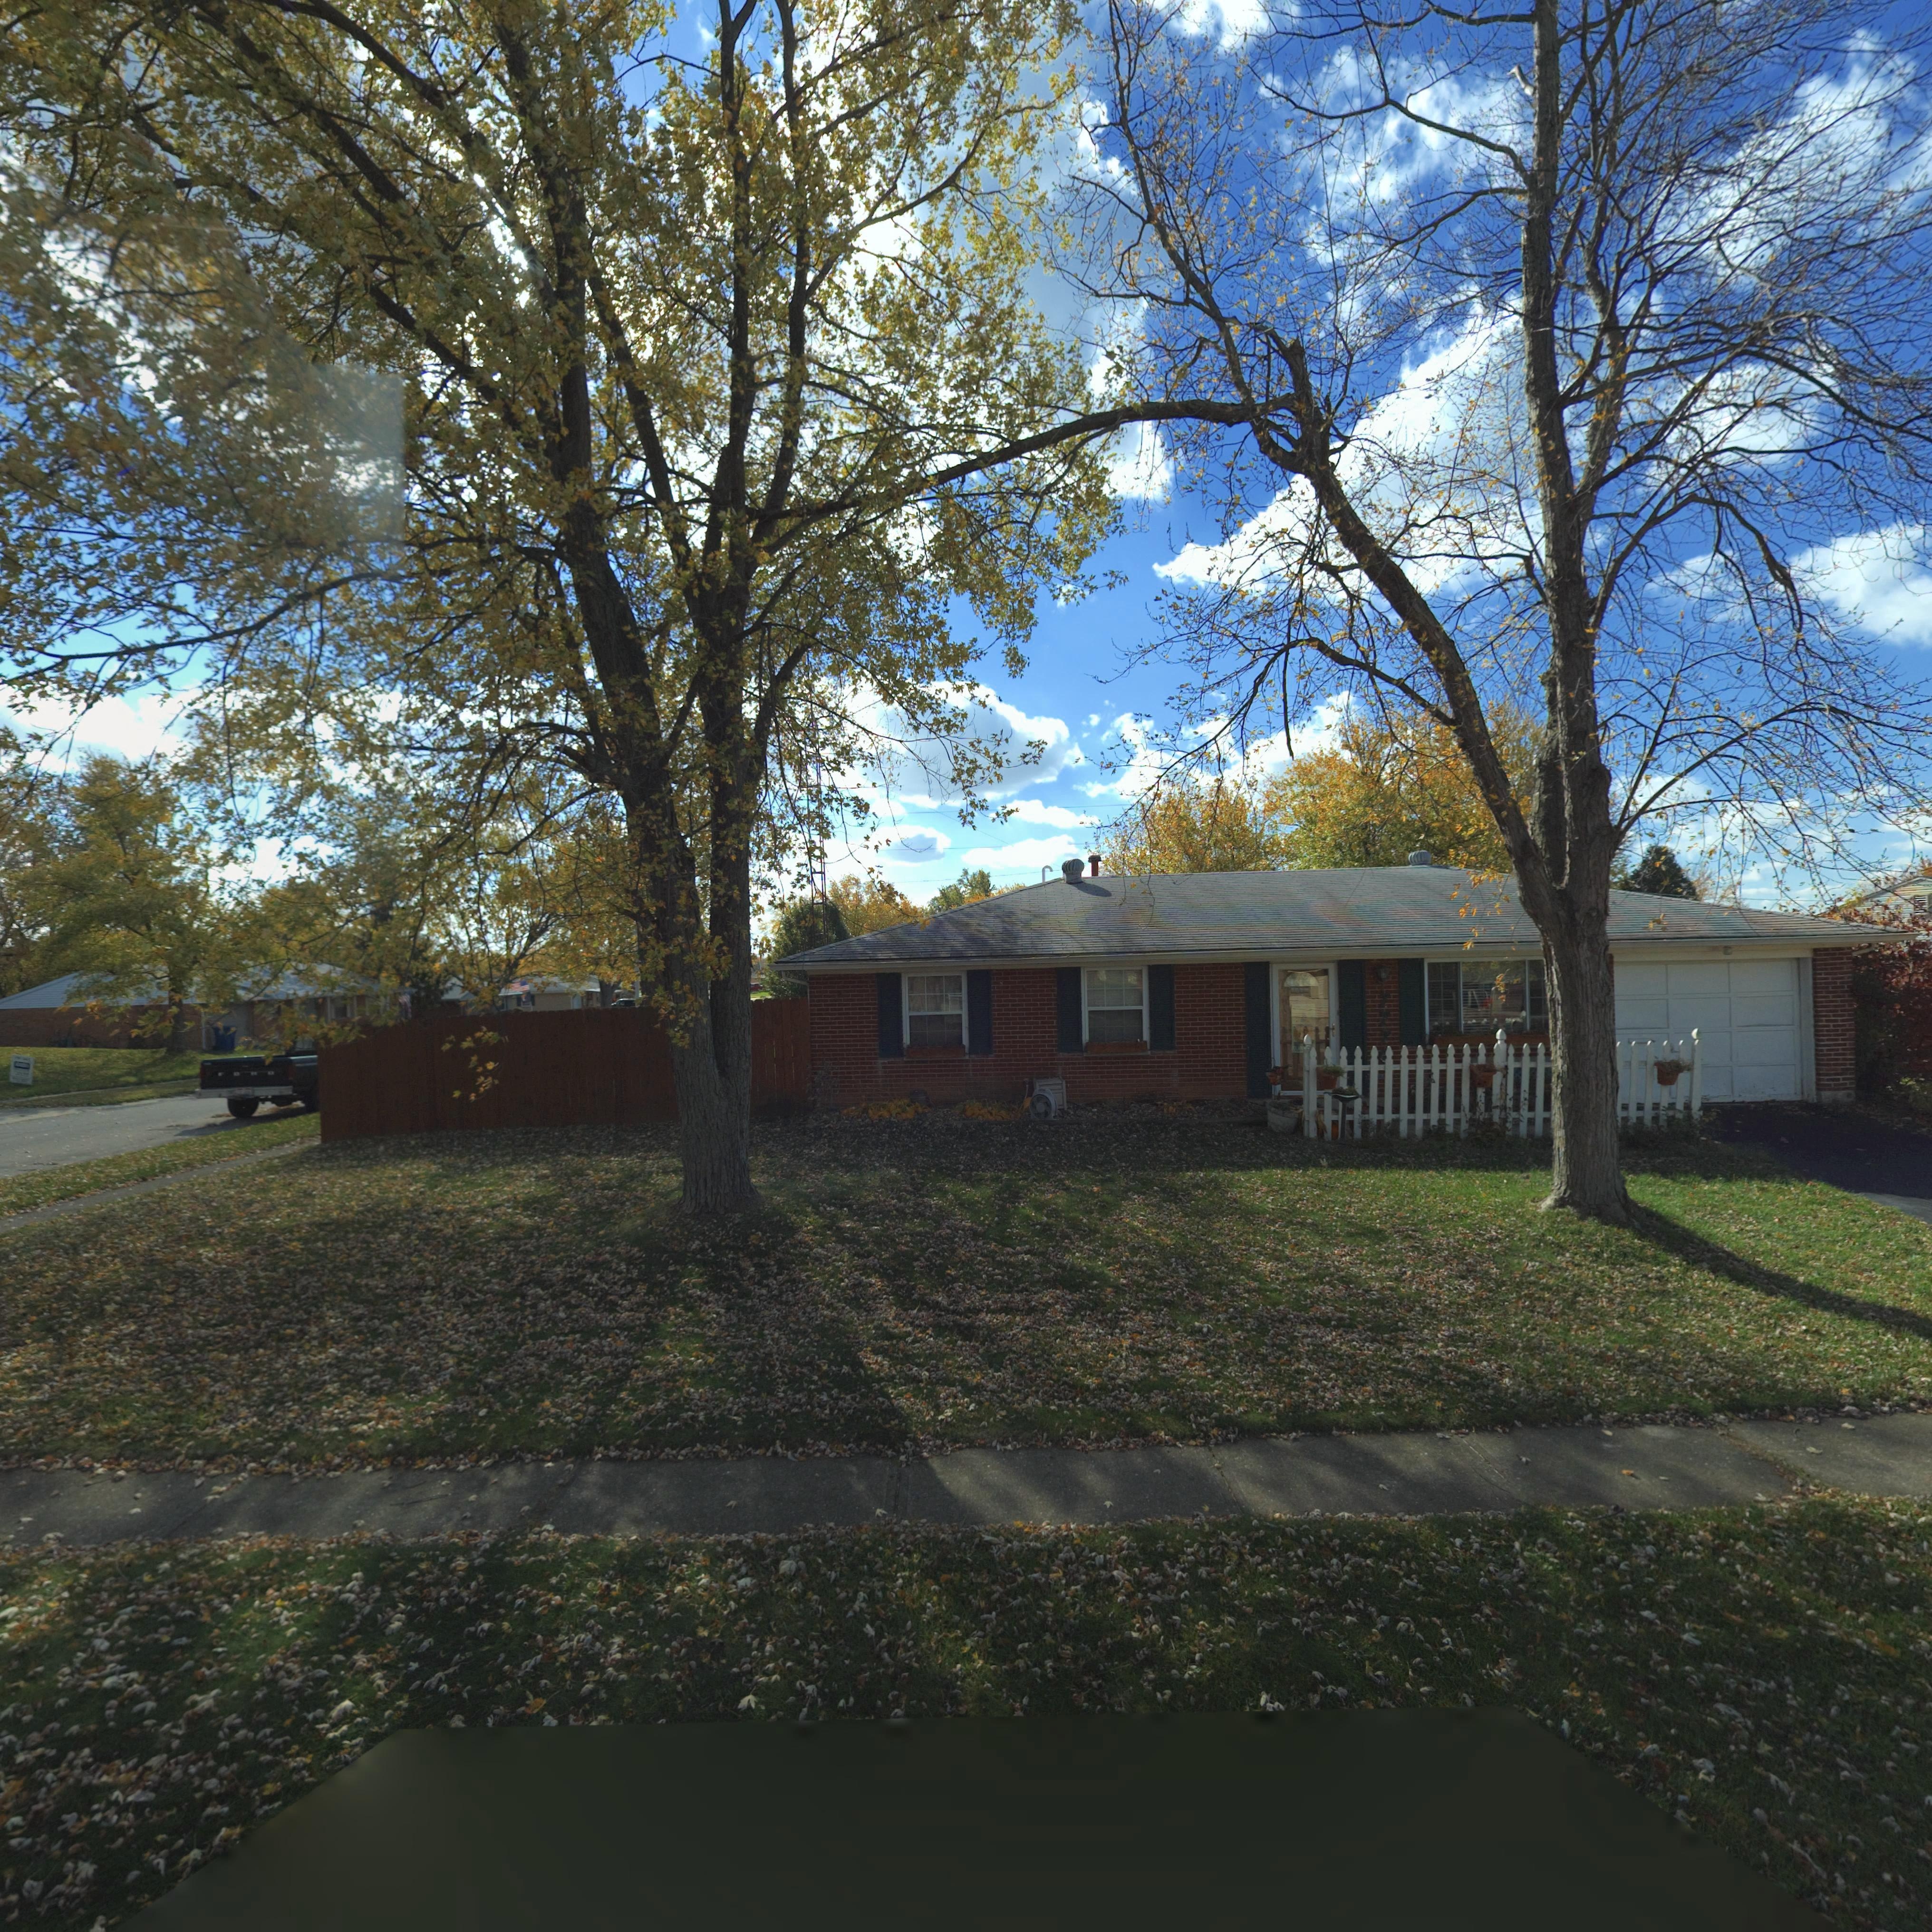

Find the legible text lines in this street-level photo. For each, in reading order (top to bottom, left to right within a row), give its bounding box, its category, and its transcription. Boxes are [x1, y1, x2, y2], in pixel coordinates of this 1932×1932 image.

[1377, 992, 1392, 1047] StreetNumber: 777